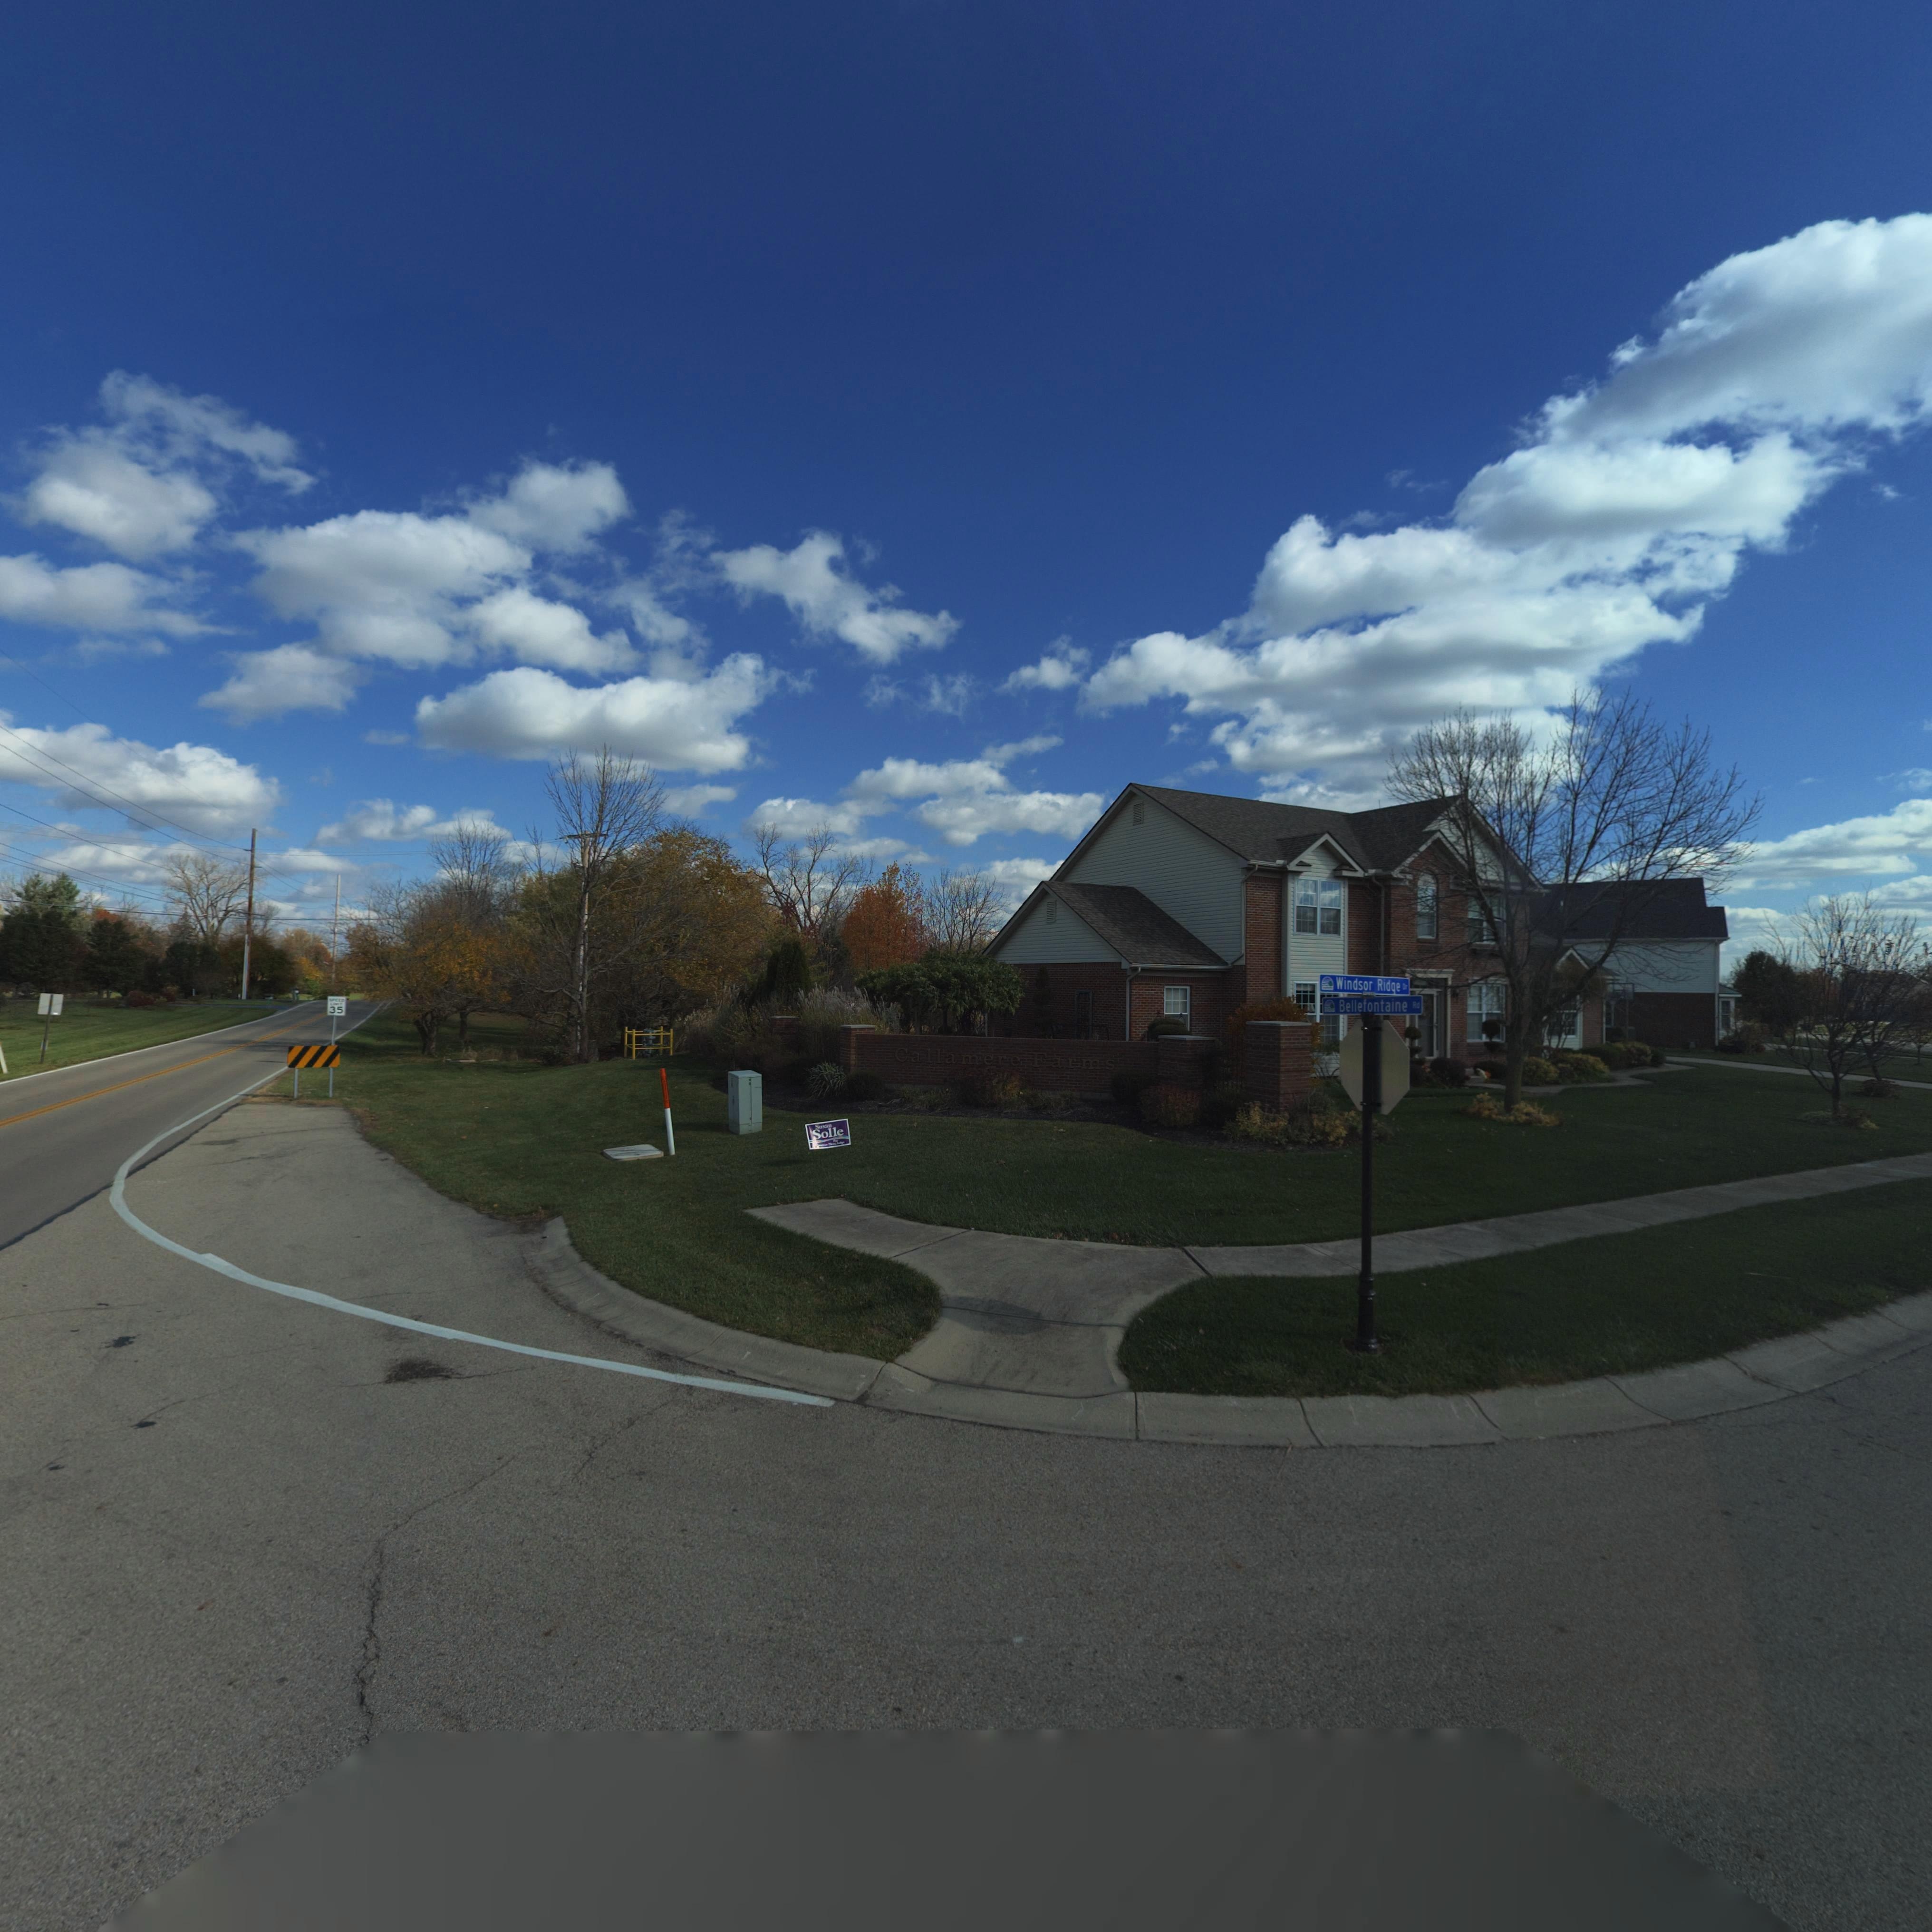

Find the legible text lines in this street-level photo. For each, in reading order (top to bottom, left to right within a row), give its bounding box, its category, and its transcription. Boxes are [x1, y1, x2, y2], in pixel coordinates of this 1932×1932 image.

[1335, 976, 1408, 995] StreetName: Windsor Ridge Dr
[1338, 998, 1421, 1013] StreetName: Bellefontaine Rd